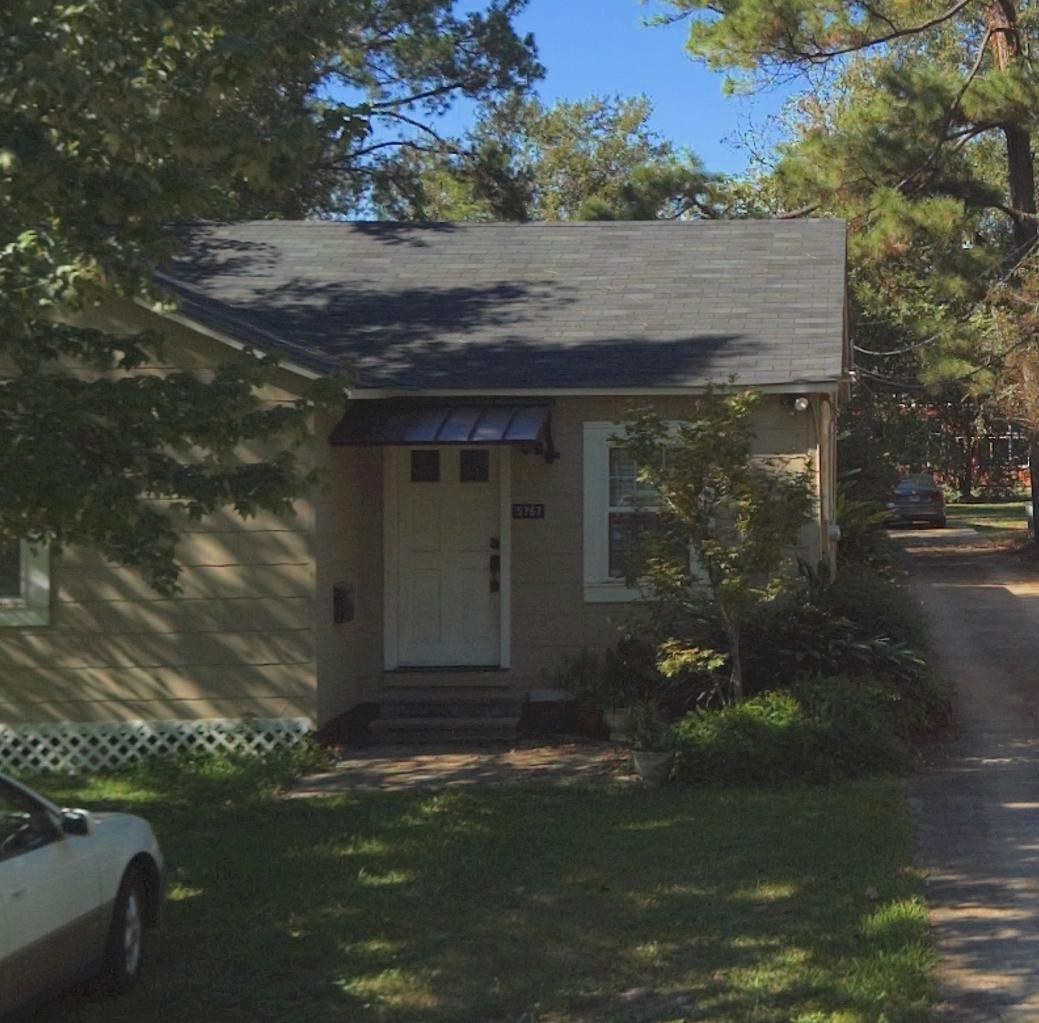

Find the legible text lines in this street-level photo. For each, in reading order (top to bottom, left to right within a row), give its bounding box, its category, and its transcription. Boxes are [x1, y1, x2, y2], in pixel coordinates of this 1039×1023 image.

[516, 505, 543, 517] StreetNumber: 576*